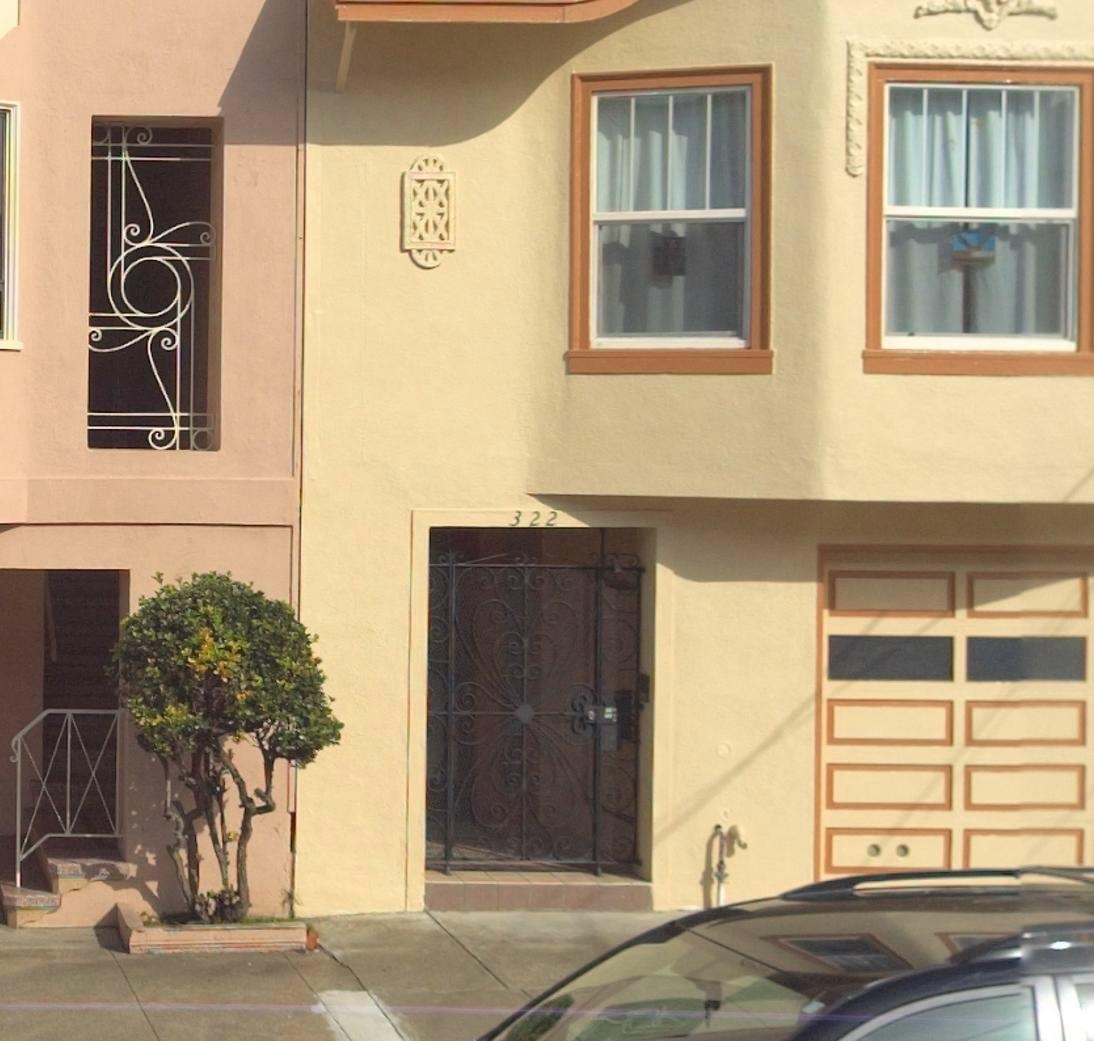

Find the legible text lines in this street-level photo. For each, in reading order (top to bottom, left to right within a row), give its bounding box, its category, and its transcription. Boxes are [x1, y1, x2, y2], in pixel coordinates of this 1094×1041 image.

[507, 510, 559, 527] StreetNumber: 322